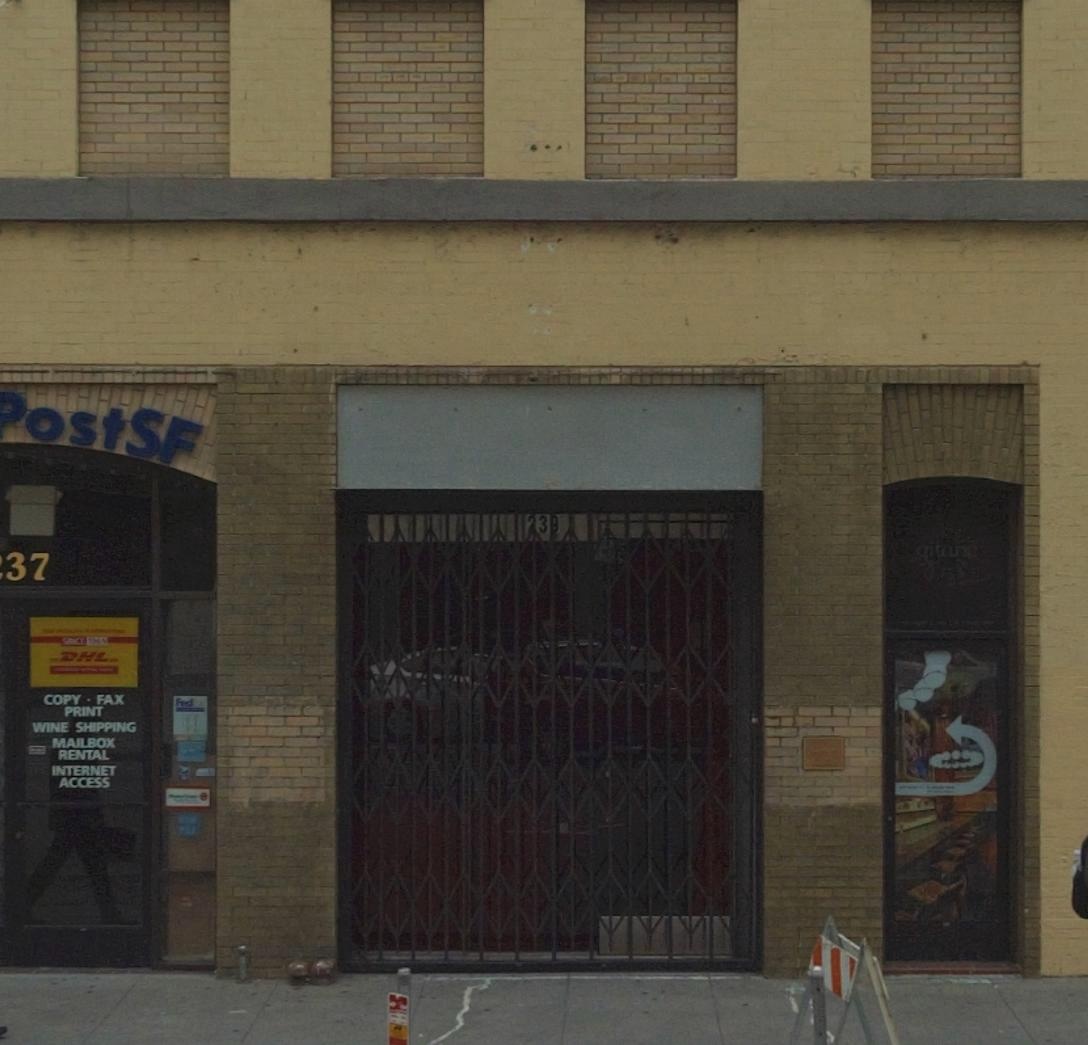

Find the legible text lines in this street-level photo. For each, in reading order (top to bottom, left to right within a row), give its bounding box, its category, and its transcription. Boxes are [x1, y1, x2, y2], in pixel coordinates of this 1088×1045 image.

[23, 406, 206, 465] BusinessName: ostSF
[526, 515, 559, 533] StreetNumber: *3*
[4, 551, 52, 583] StreetNumber: 37
[58, 650, 109, 663] None: DHL
[42, 693, 126, 706] None: COPY * FAX
[63, 705, 104, 718] None: PRINT
[31, 721, 138, 734] None: WINE SHIPPING
[51, 737, 116, 750] None: MAILBOX
[57, 749, 111, 761] None: RENTAL
[51, 765, 118, 777] None: INTERNET
[57, 777, 111, 789] None: ACCESS